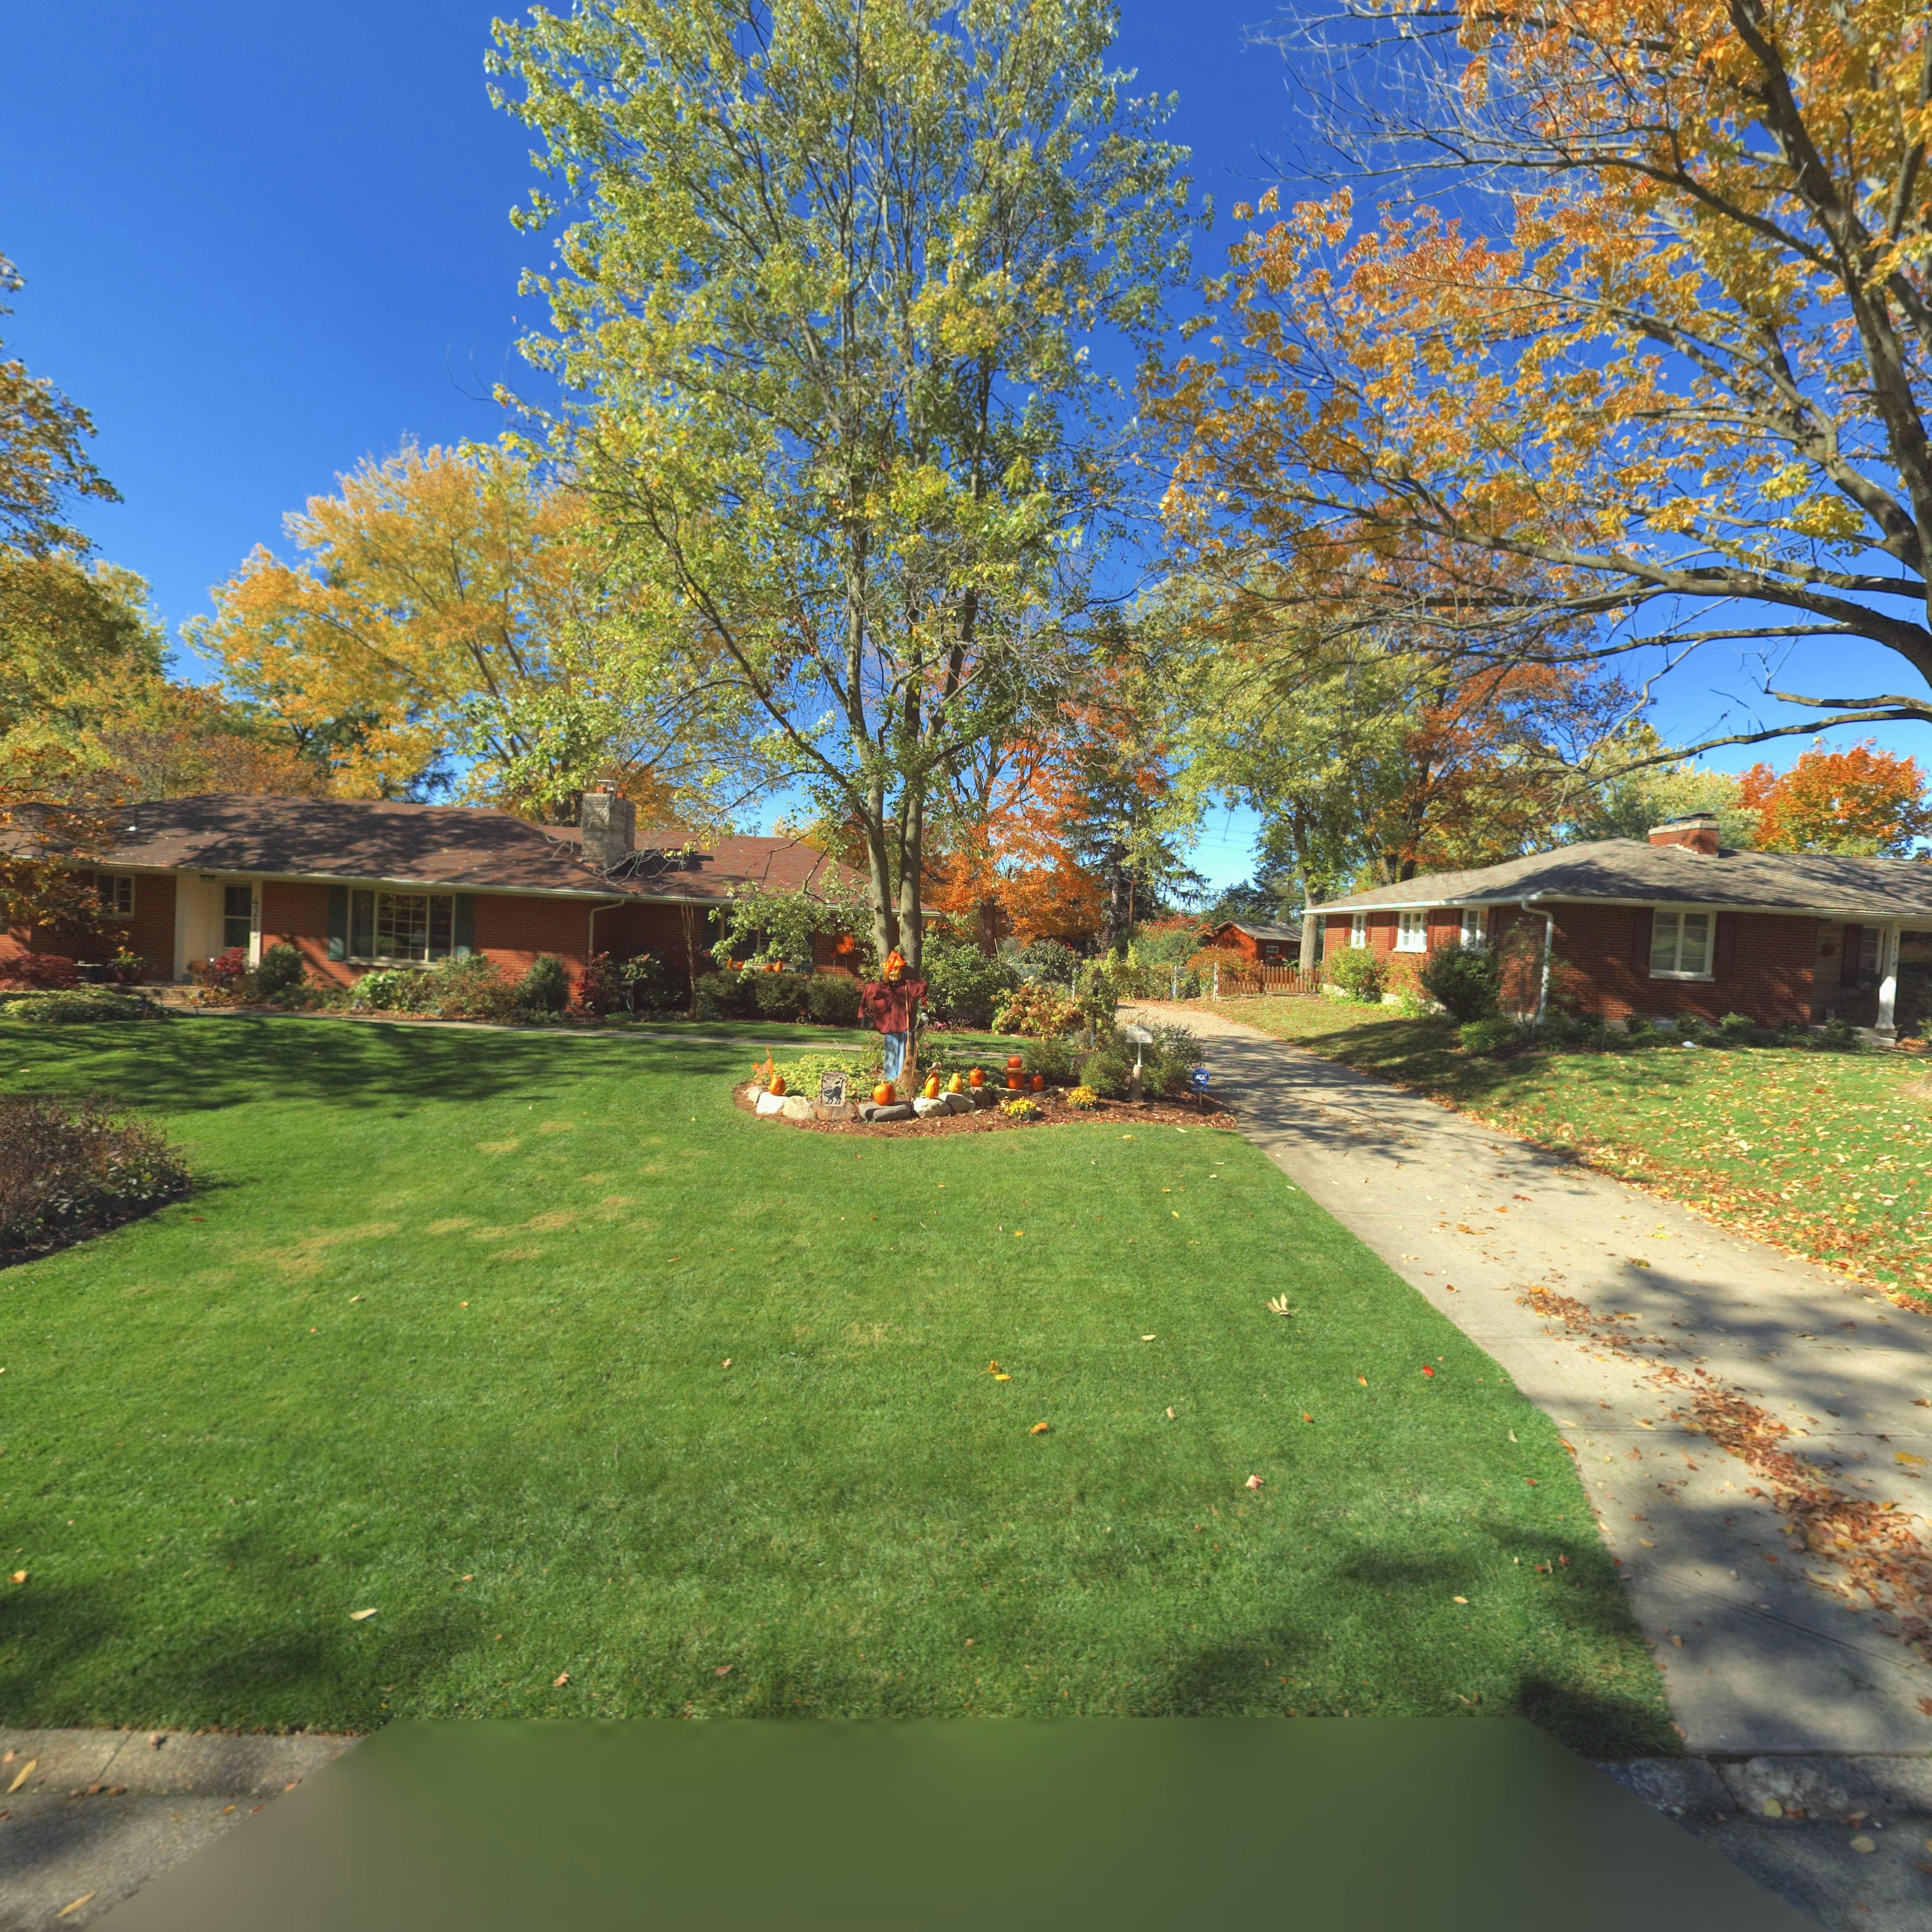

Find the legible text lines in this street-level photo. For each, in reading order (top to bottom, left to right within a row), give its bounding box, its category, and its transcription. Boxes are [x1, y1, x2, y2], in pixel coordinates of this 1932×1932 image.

[251, 894, 260, 940] StreetNumber: 4215